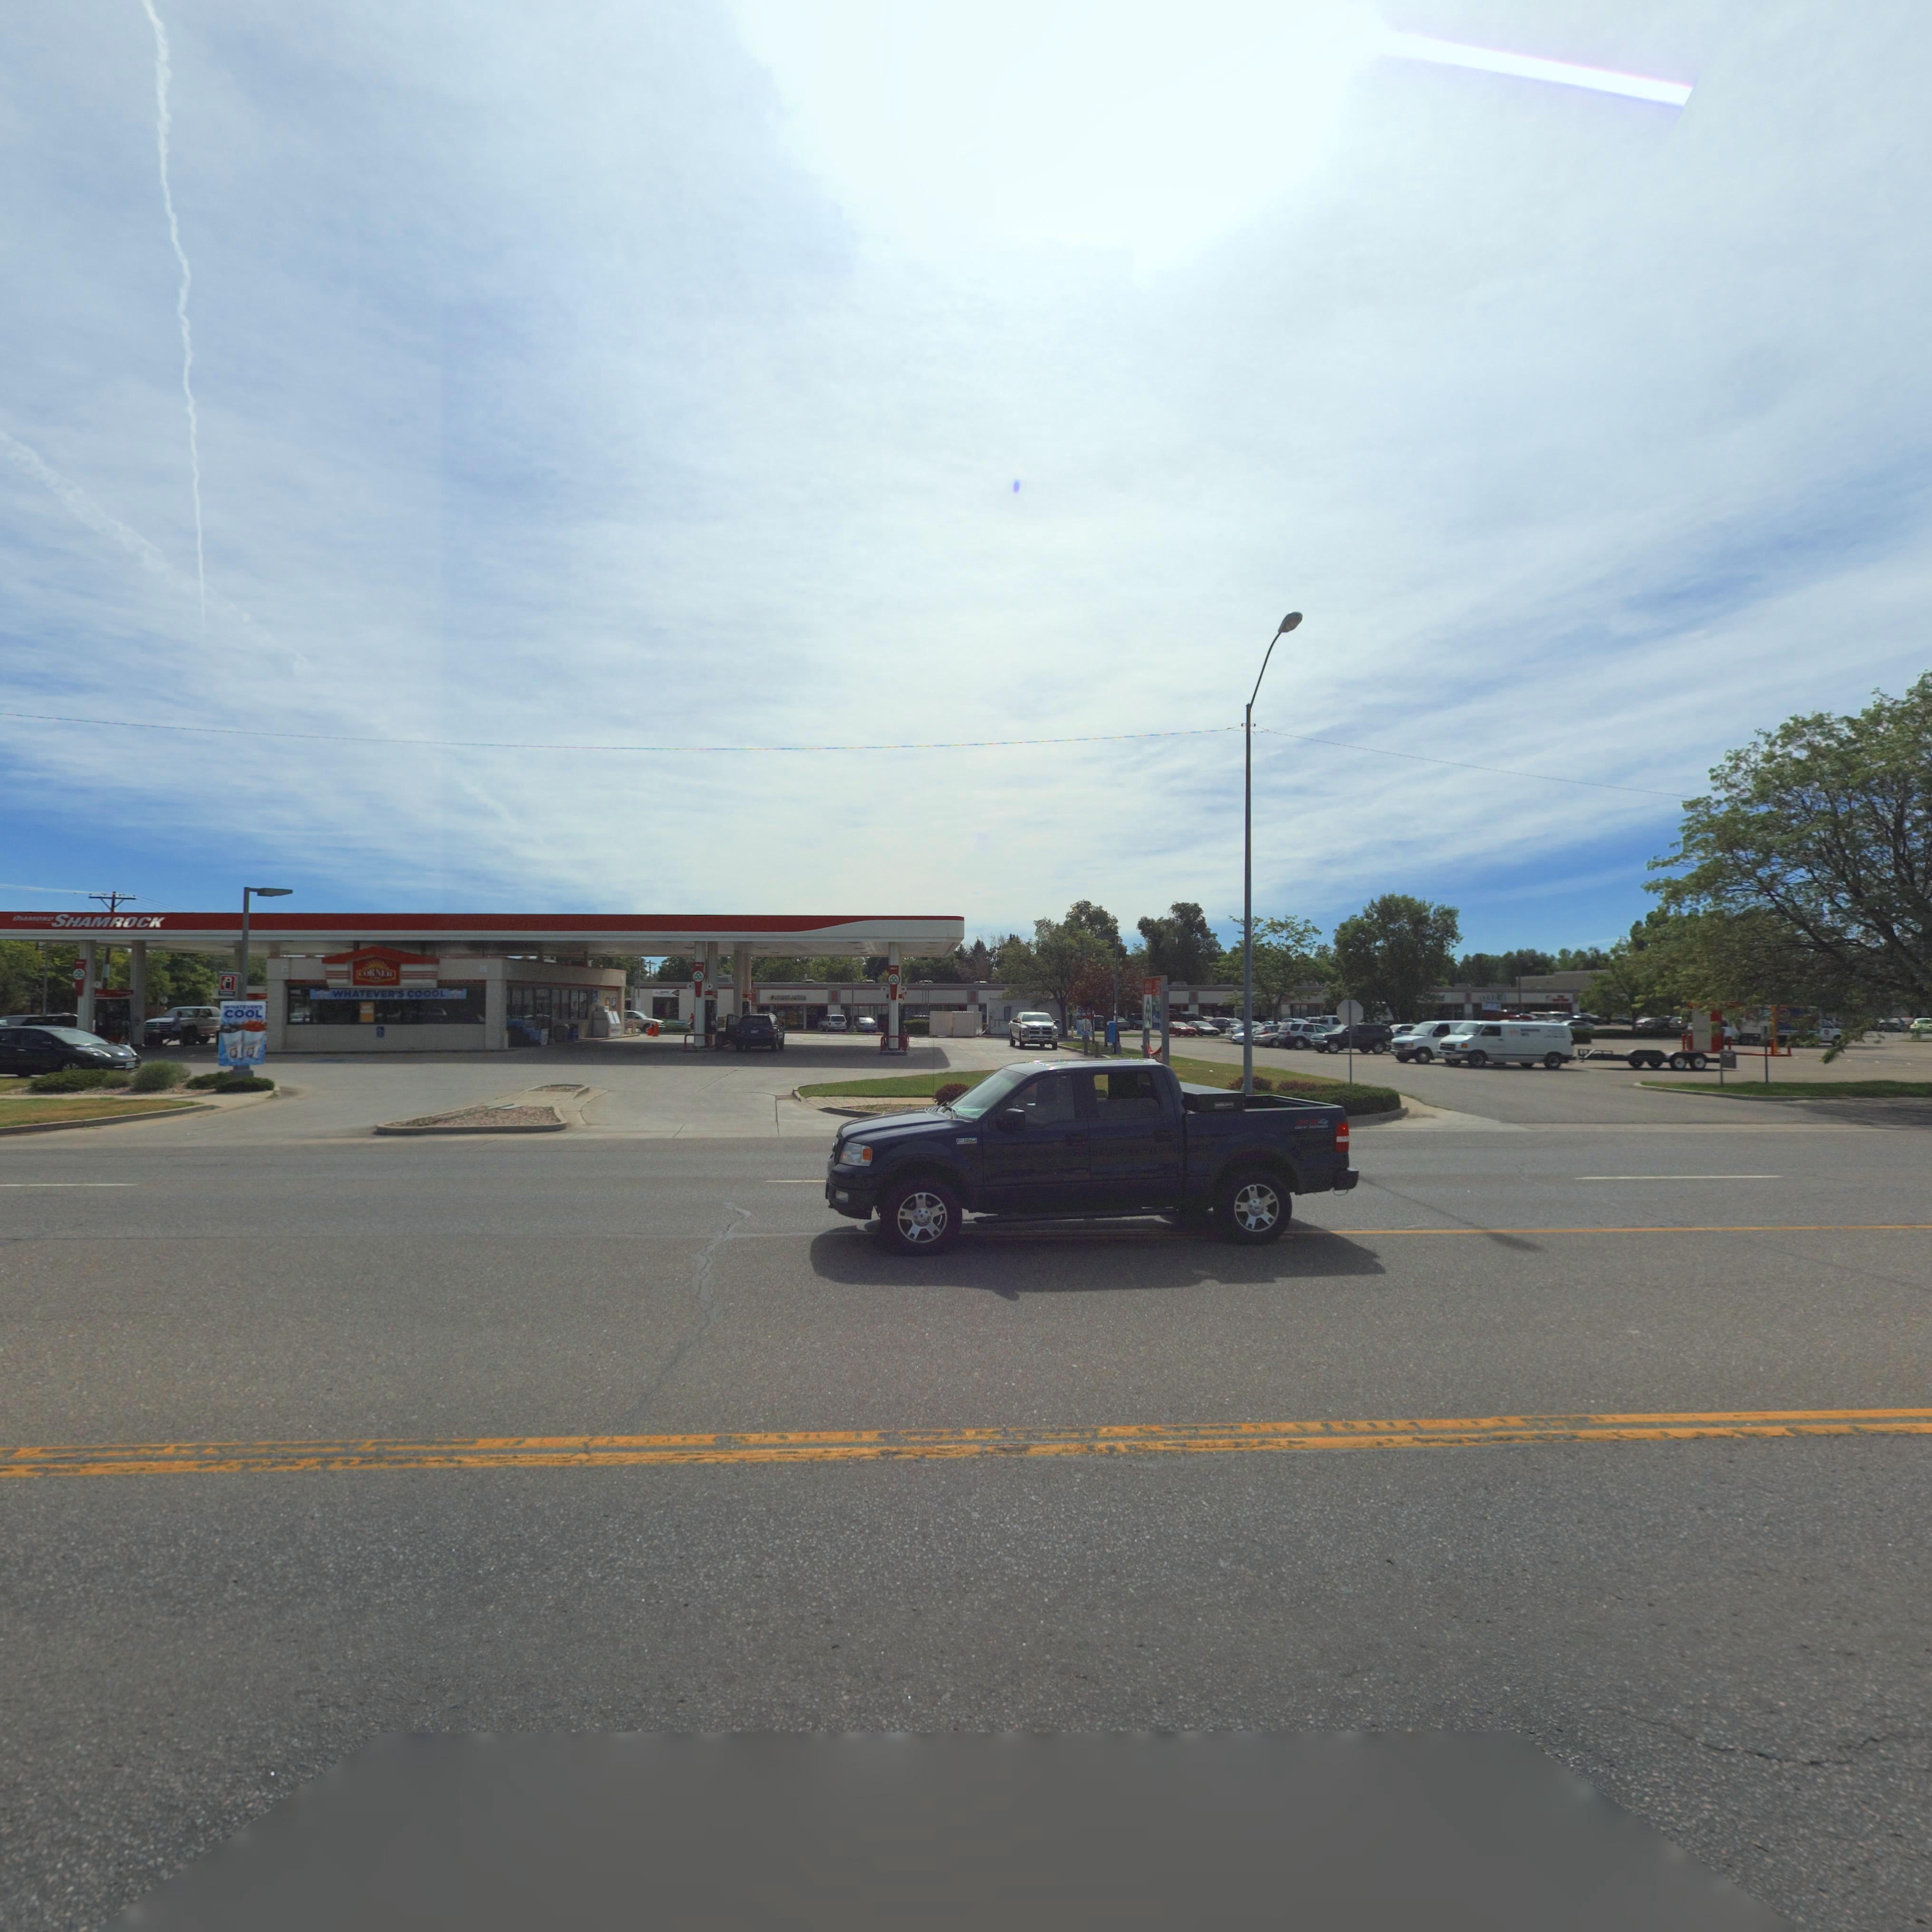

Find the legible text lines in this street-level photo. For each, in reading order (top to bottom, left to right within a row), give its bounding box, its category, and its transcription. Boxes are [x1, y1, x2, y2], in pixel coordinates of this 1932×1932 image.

[11, 914, 54, 922] BusinessName: DIA*O**
[358, 968, 392, 977] BusinessName: CORNER